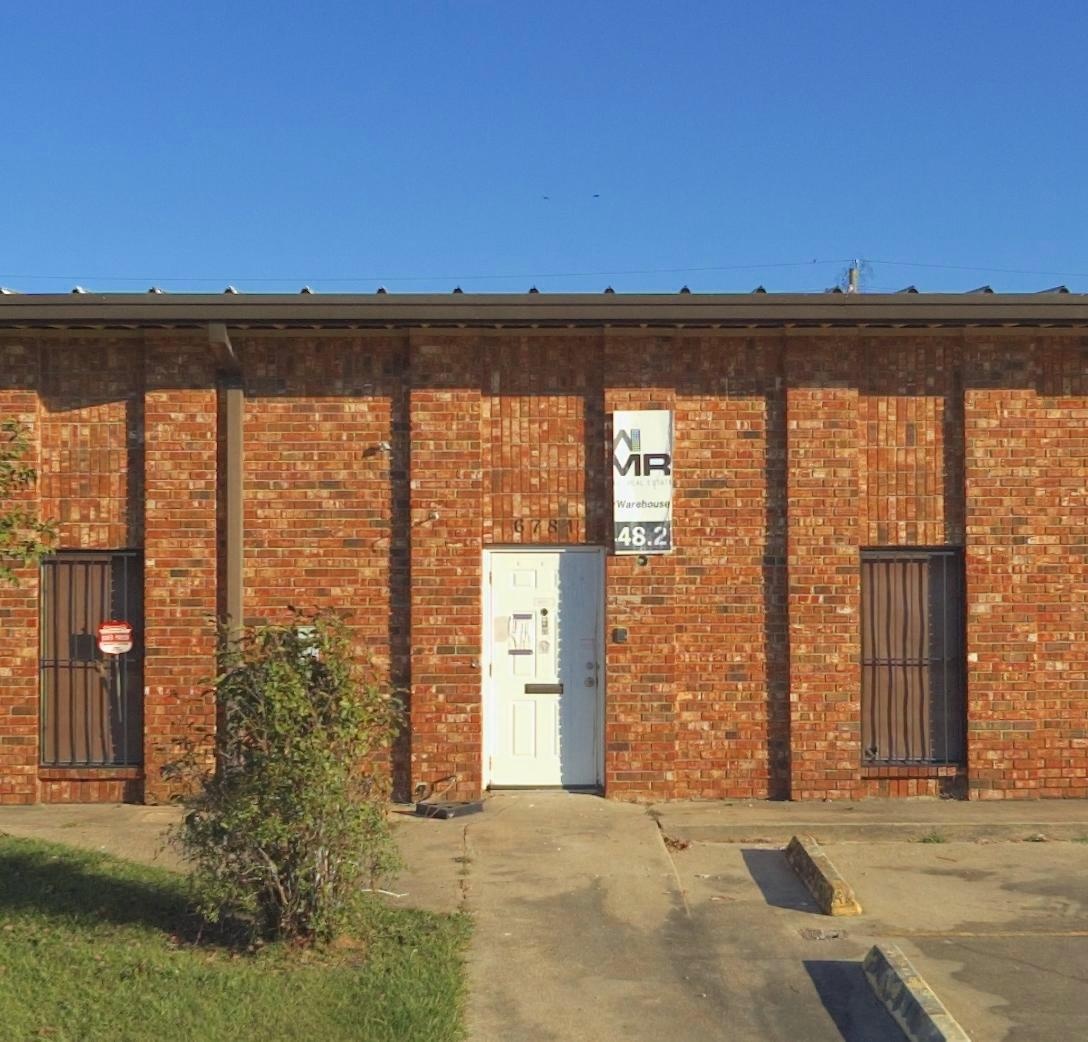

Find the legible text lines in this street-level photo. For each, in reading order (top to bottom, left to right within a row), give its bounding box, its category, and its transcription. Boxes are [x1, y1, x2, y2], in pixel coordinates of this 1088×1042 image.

[642, 452, 672, 478] None: R
[615, 498, 673, 511] None: Ware*ous*
[512, 517, 574, 535] StreetNumber: 6781
[614, 523, 669, 549] None: 48.2